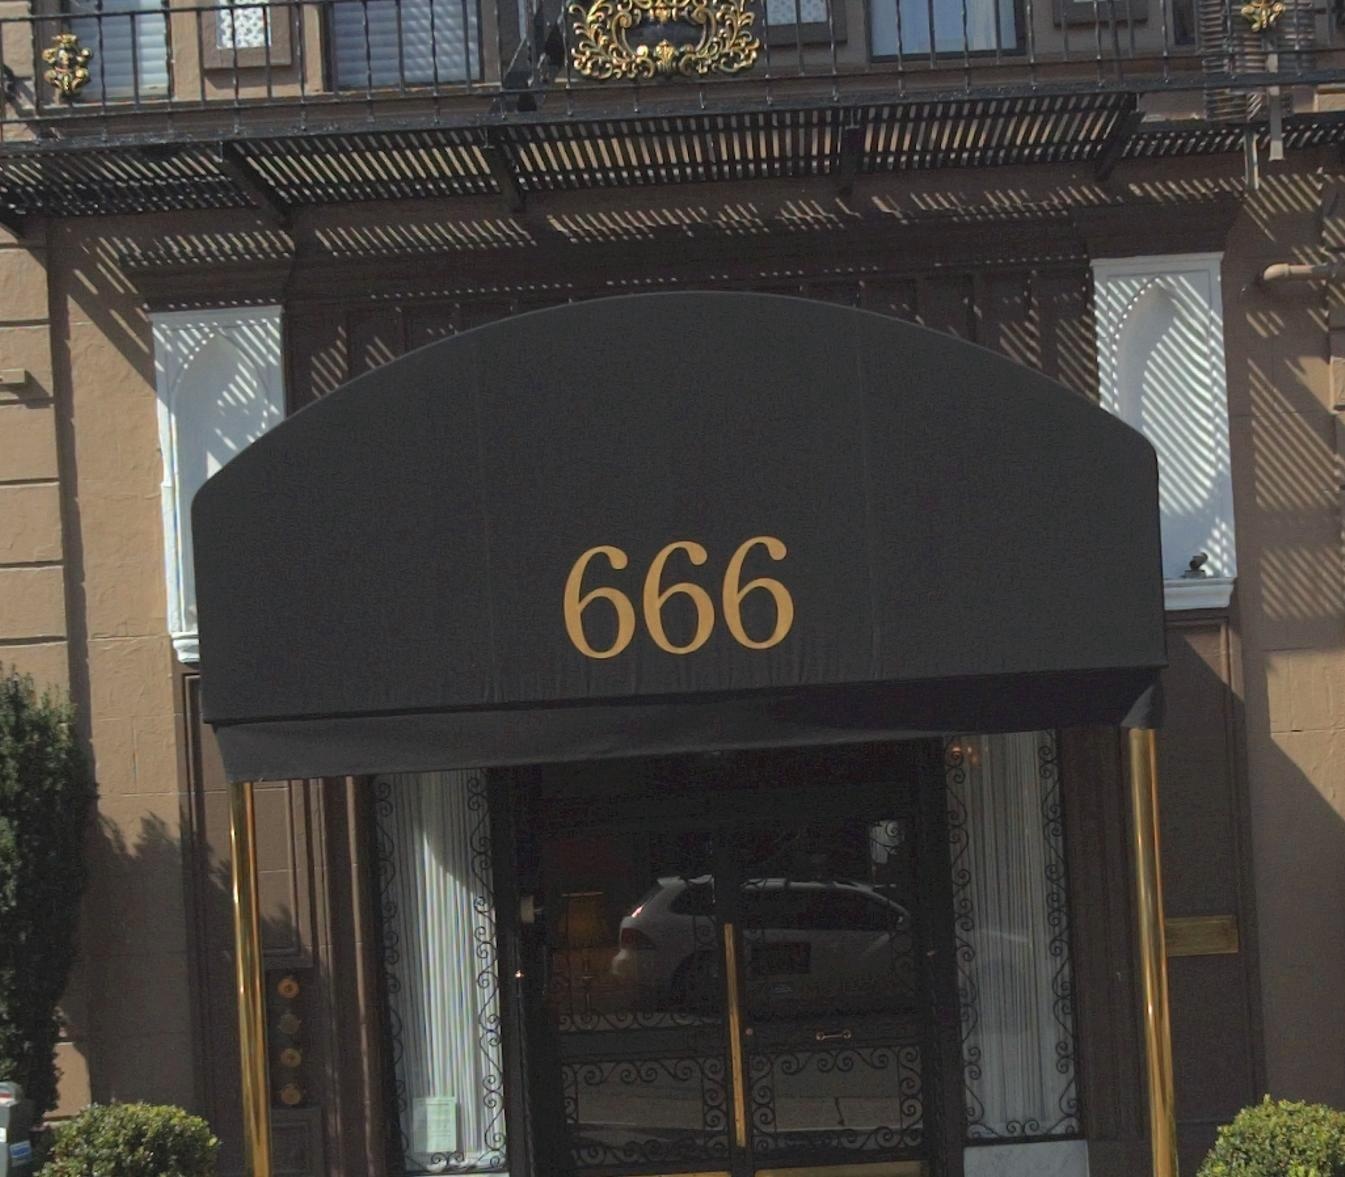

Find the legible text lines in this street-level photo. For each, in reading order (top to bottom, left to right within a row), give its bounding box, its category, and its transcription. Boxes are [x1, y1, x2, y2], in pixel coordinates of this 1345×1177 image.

[559, 533, 800, 664] StreetNumber: 666